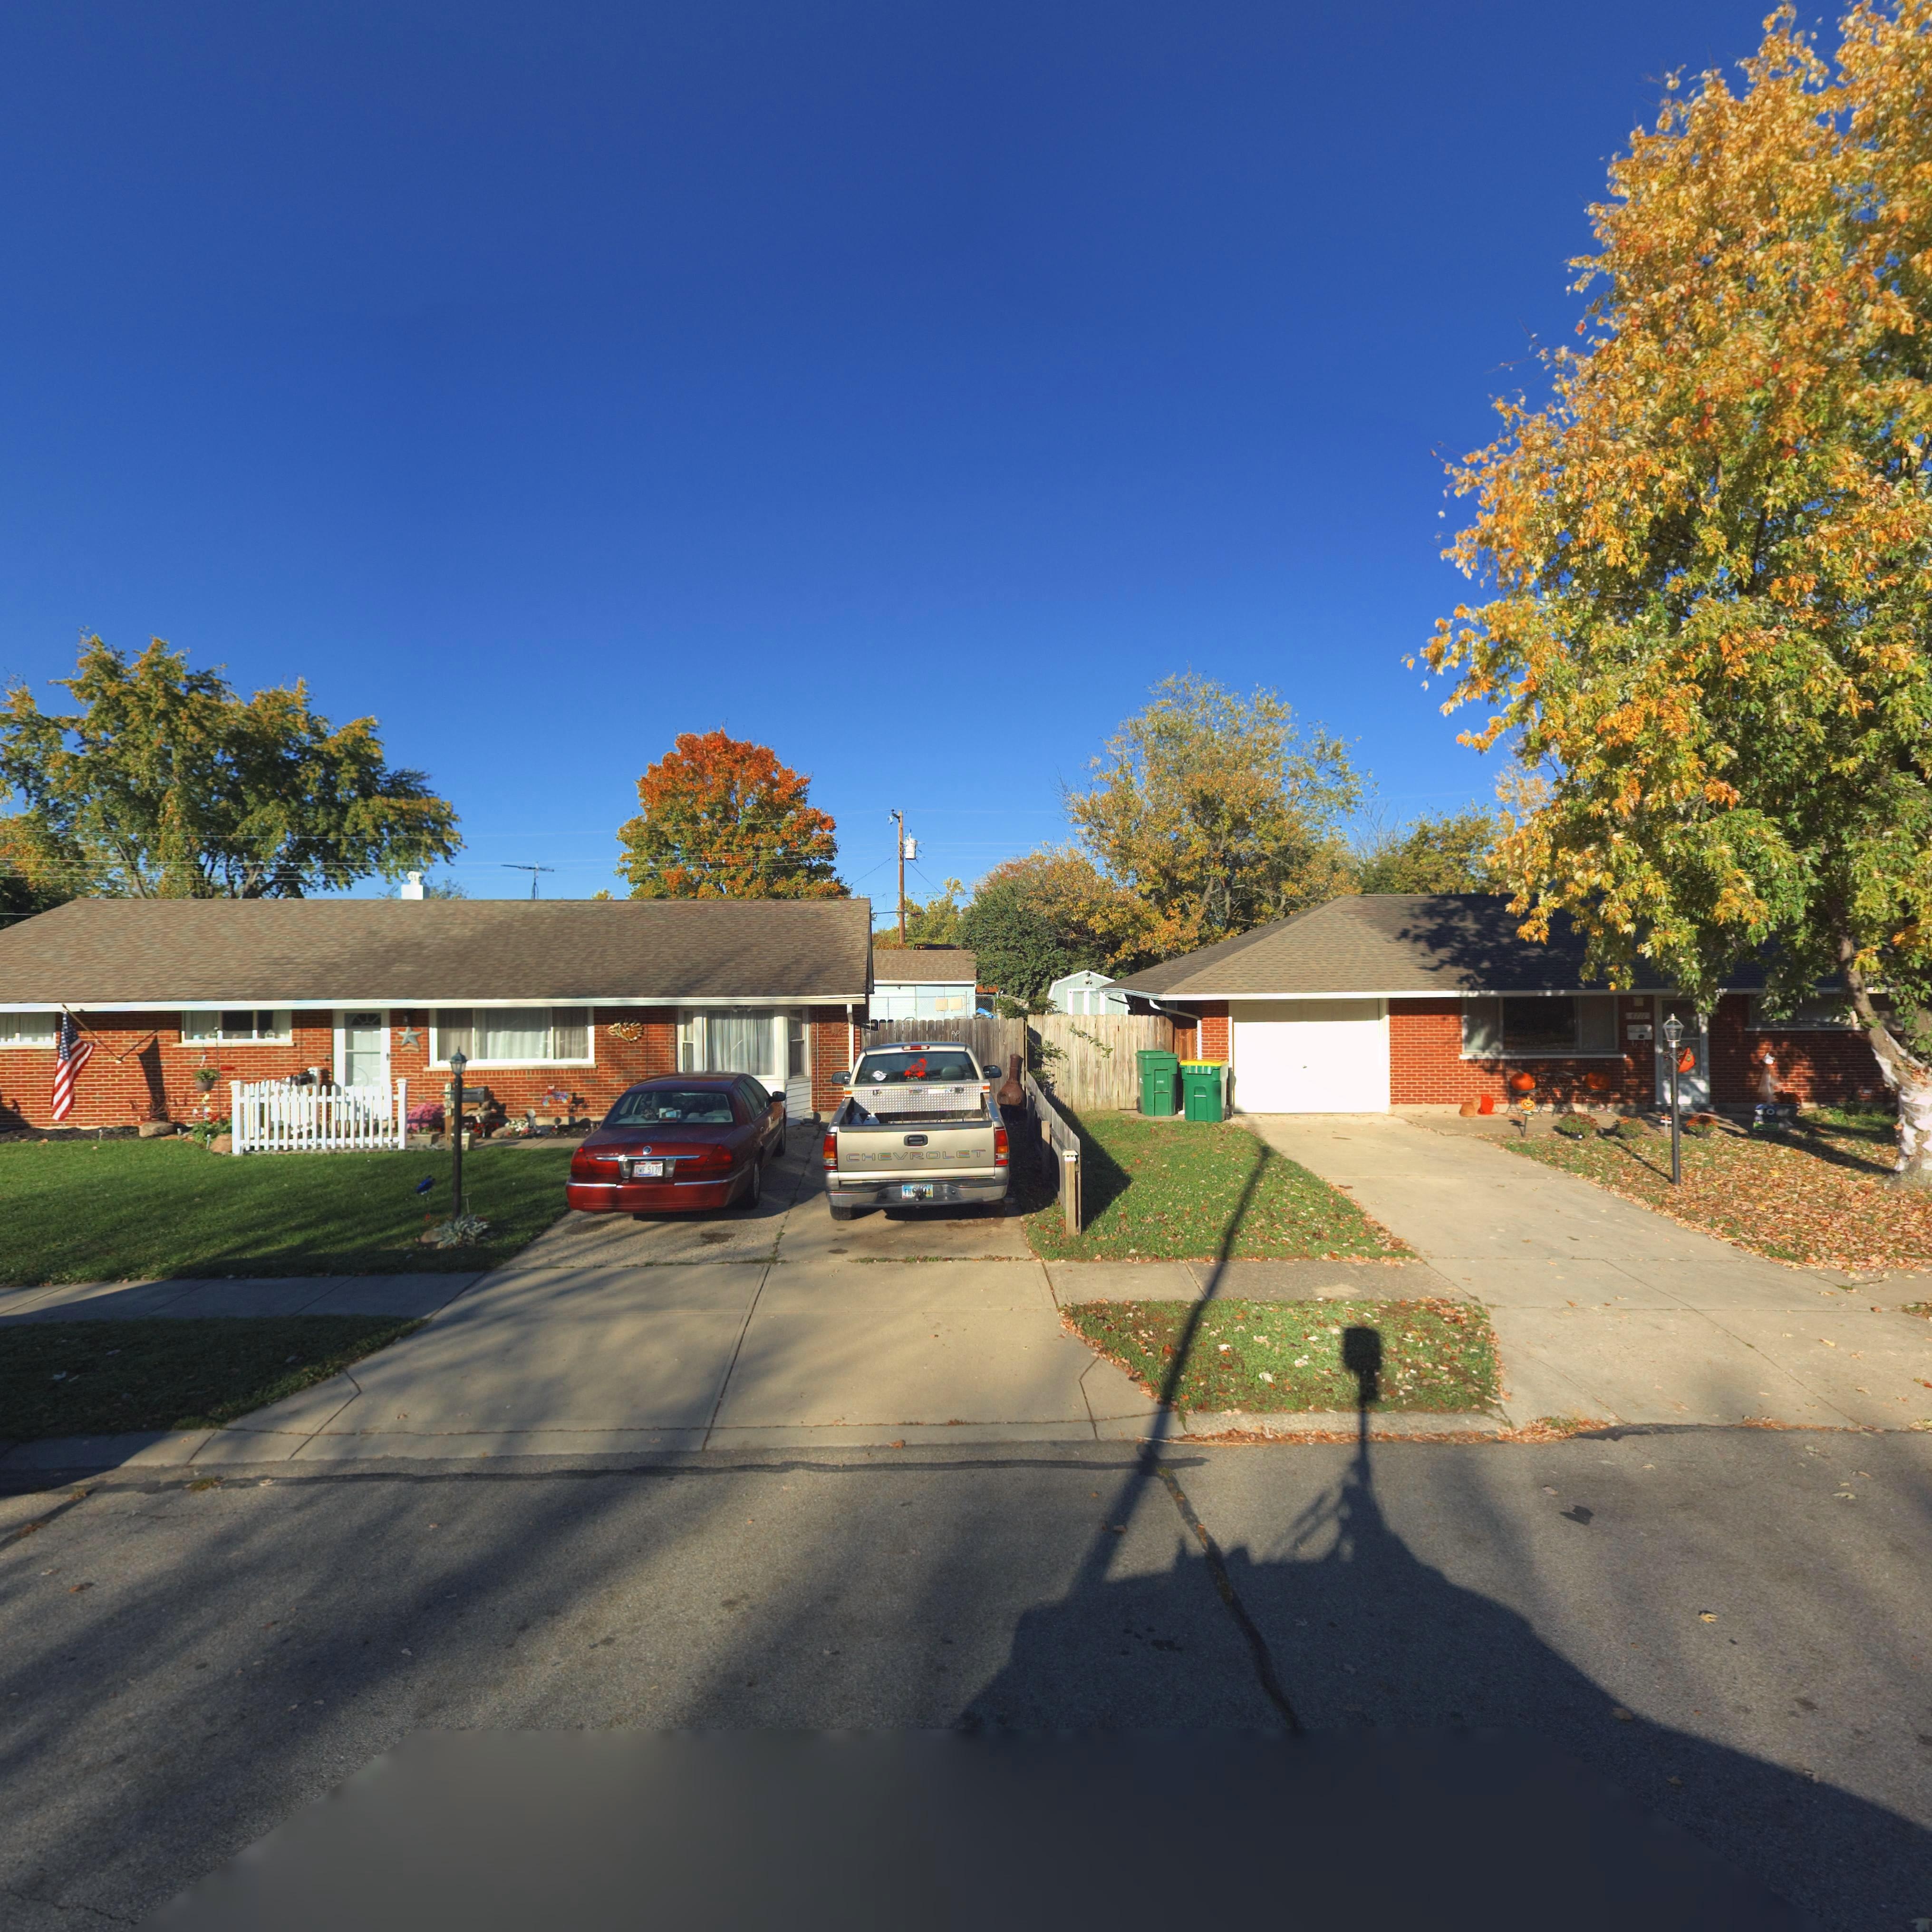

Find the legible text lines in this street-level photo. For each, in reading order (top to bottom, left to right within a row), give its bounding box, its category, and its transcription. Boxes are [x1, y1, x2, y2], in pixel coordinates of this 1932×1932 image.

[1630, 1012, 1646, 1019] StreetNumber: 4711
[445, 1083, 451, 1116] StreetNumber: 4721